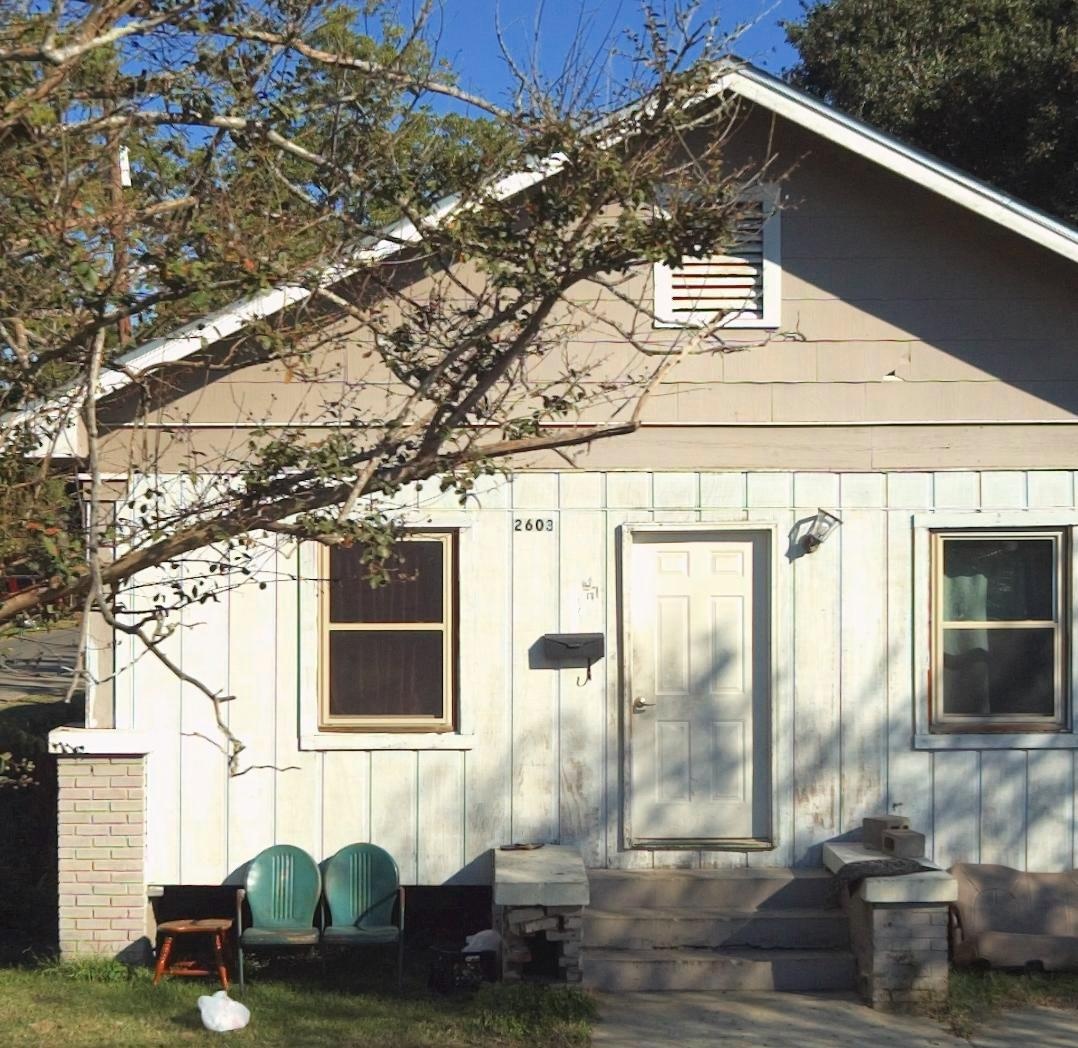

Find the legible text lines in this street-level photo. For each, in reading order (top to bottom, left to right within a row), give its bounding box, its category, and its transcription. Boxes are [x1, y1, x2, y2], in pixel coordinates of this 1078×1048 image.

[513, 517, 555, 534] StreetNumber: 2603